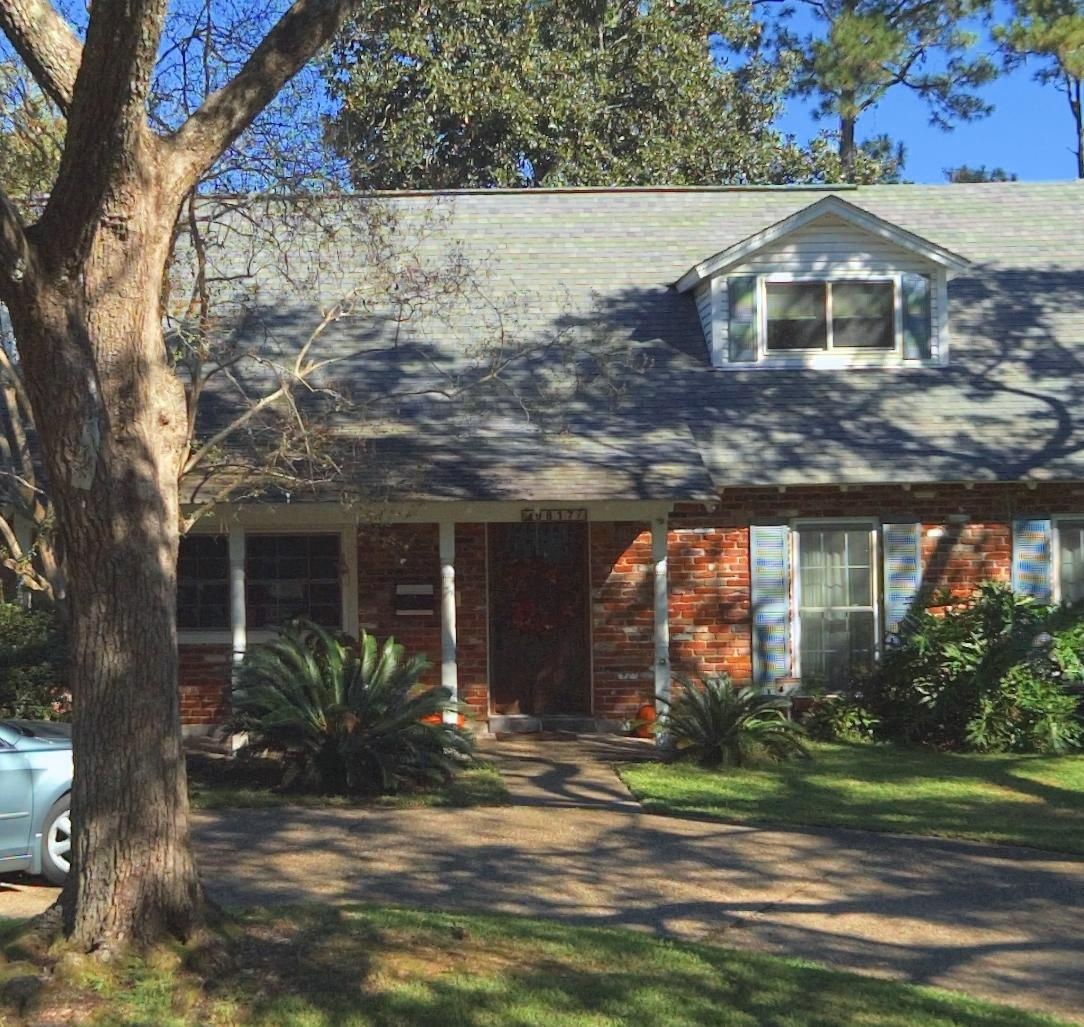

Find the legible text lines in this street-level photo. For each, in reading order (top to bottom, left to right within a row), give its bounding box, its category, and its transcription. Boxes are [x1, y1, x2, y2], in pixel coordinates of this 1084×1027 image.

[533, 509, 575, 522] StreetNumber: *817